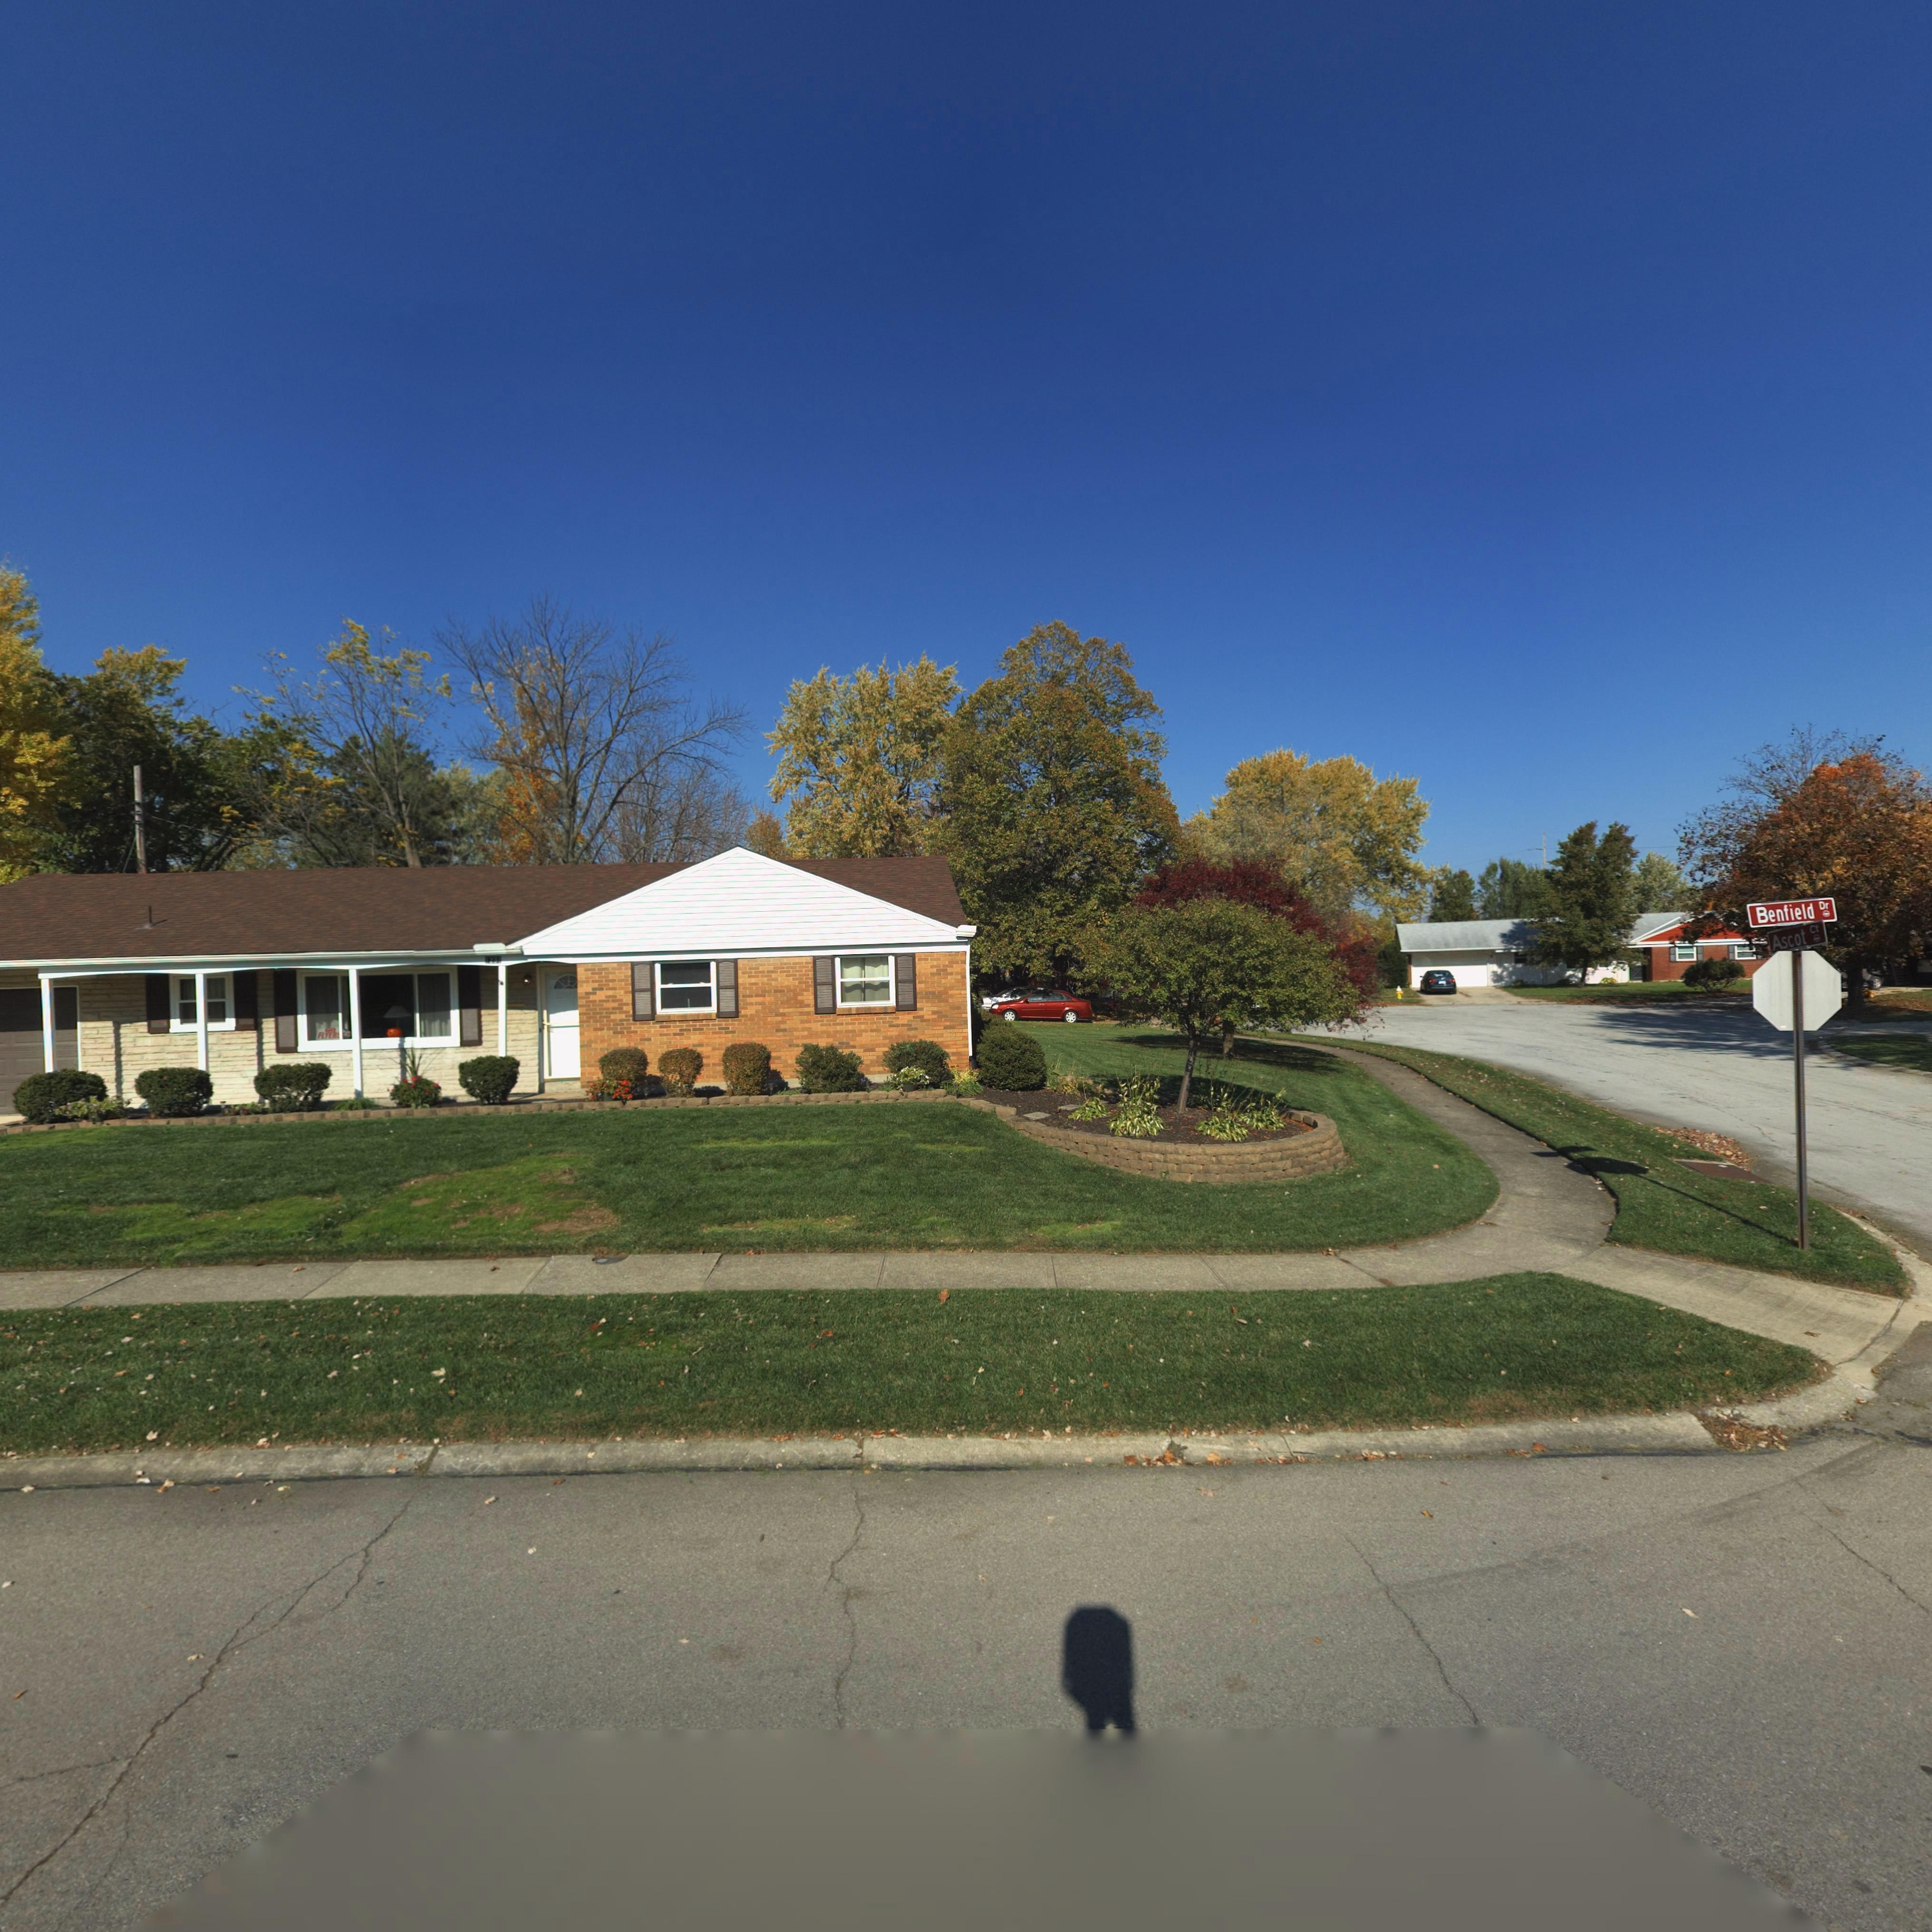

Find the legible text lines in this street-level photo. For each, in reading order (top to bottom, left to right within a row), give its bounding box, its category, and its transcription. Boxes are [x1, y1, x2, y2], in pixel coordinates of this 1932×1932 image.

[1754, 900, 1829, 924] StreetName: Benfield Dr
[1772, 922, 1820, 951] StreetName: Ascot Ct
[485, 956, 501, 964] StreetNumber: 1231
[325, 1026, 337, 1033] None: GO
[318, 1031, 338, 1039] None: FLYER*